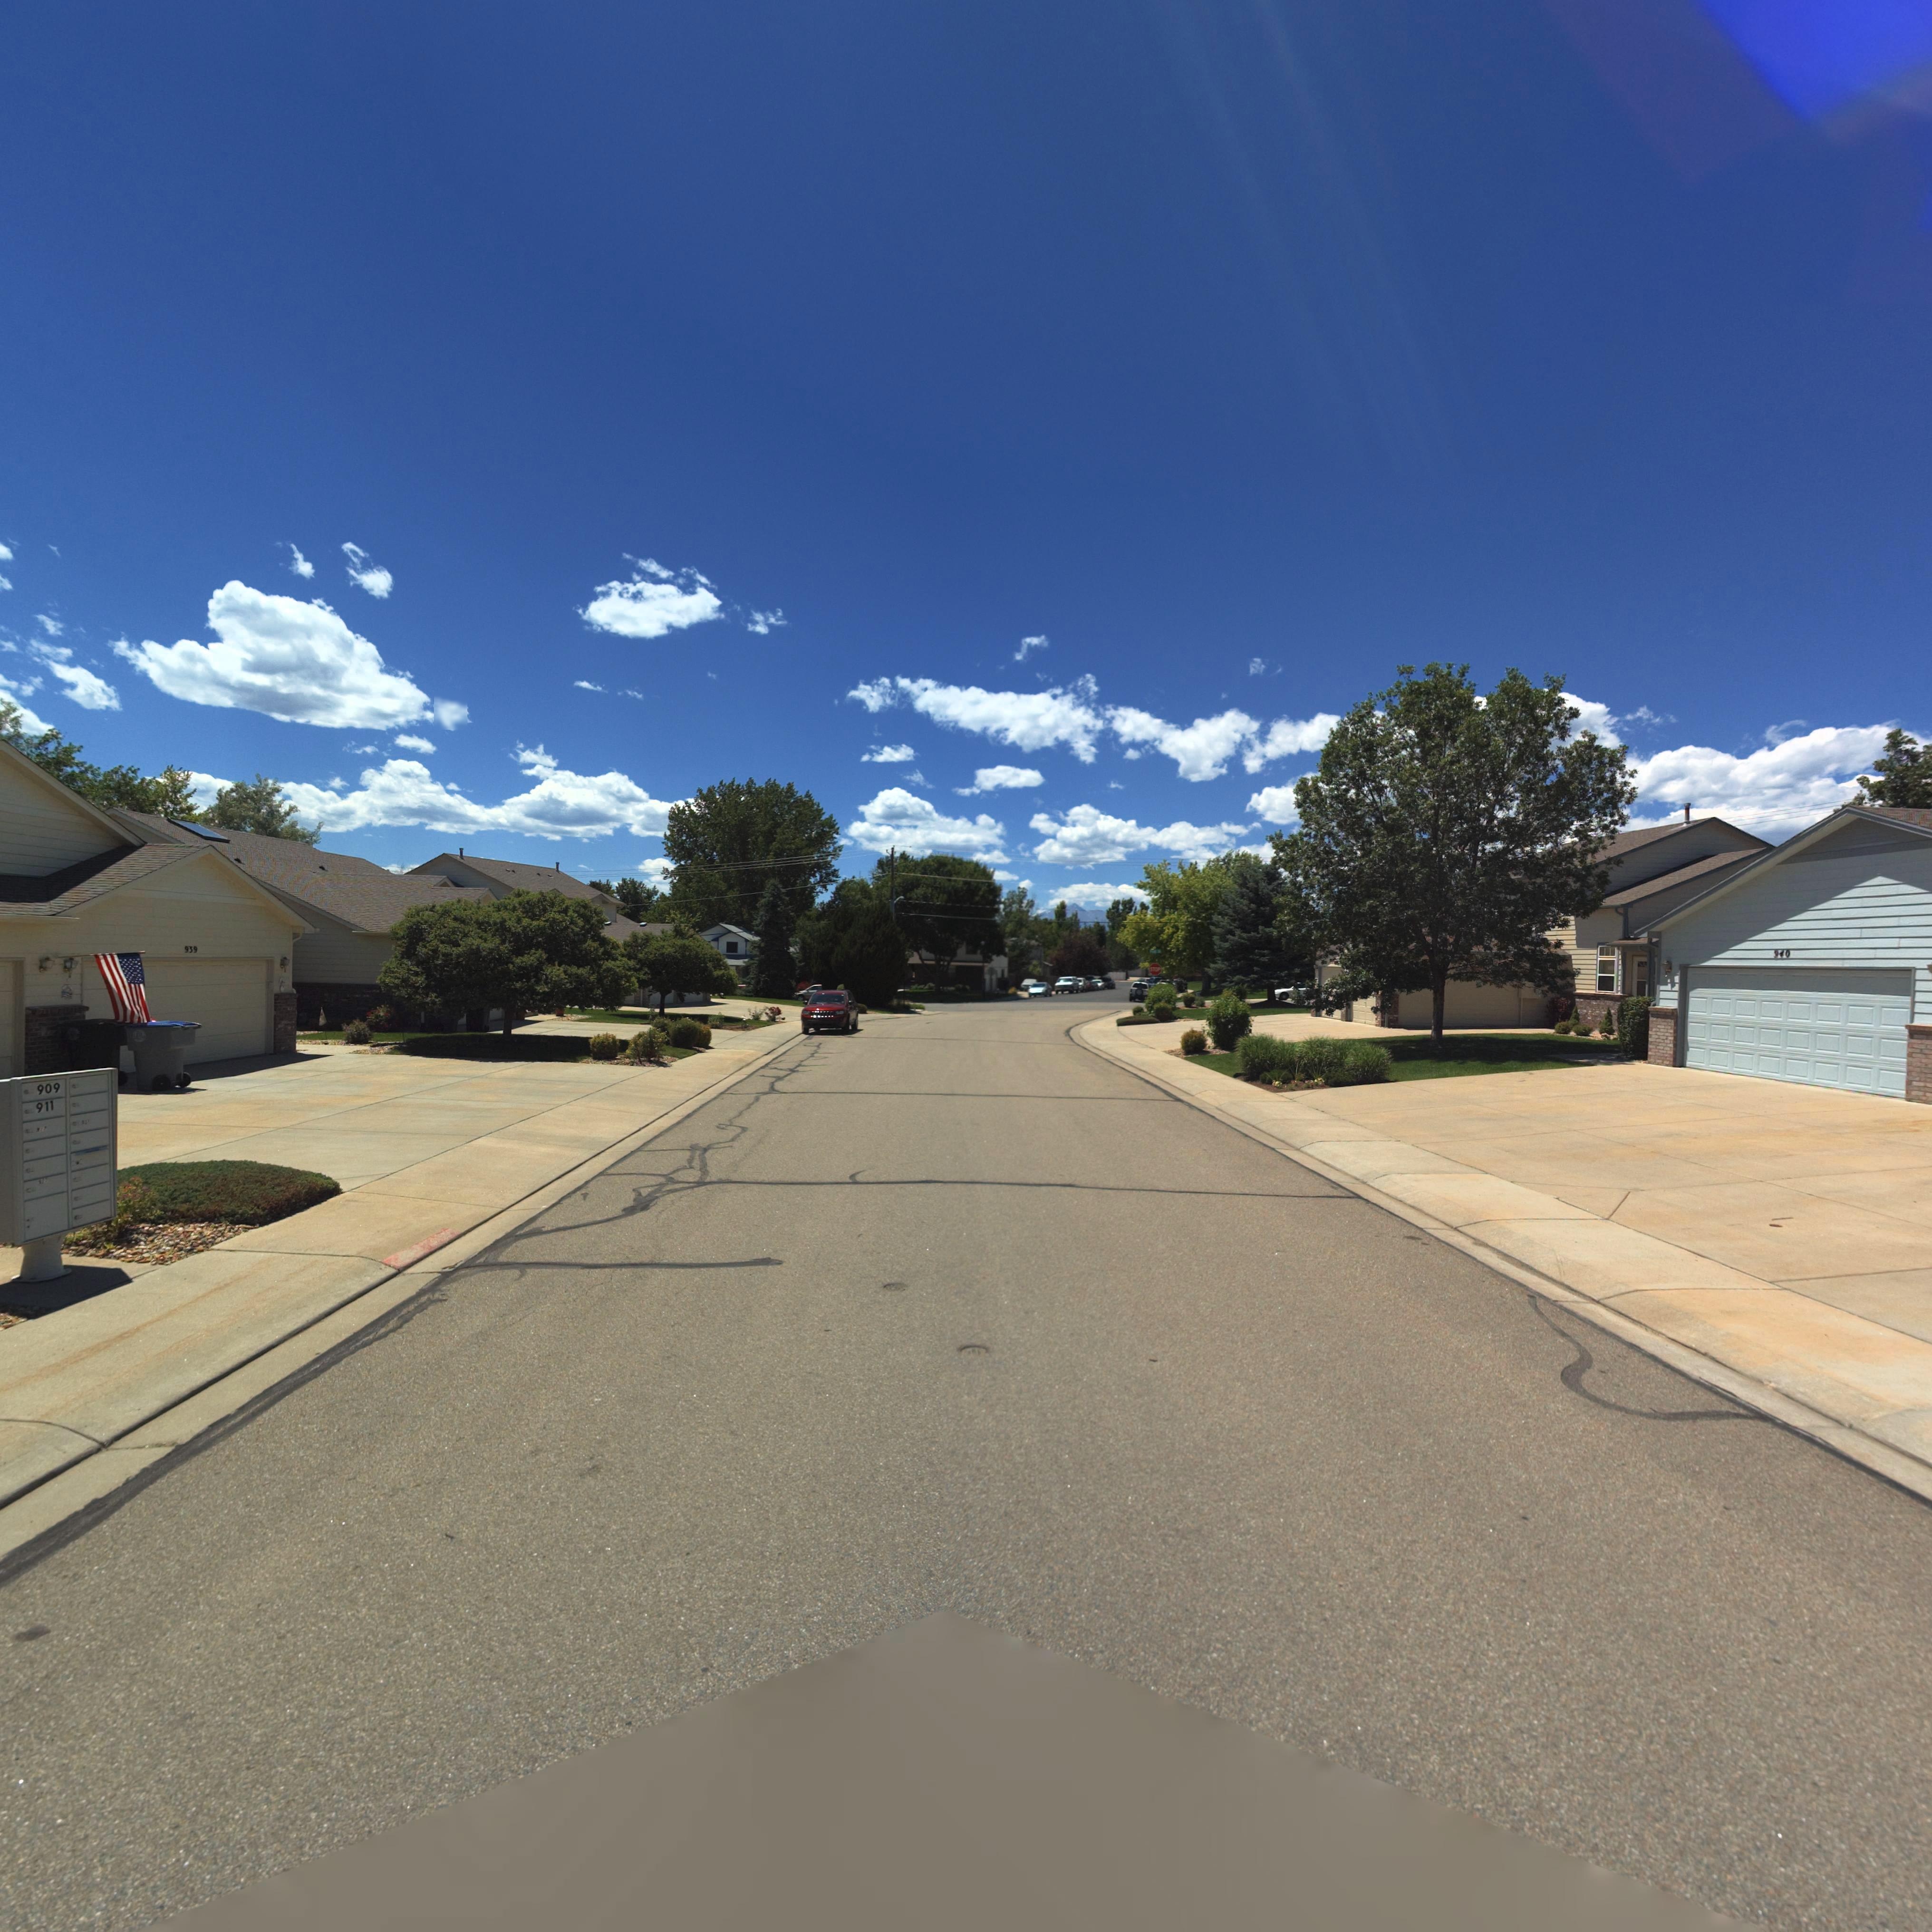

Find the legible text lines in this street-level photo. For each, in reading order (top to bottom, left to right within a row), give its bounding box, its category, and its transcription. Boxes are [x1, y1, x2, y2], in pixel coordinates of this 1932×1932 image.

[184, 946, 198, 953] StreetNumber: 959
[1773, 949, 1791, 957] StreetNumber: 940
[37, 1082, 61, 1095] StreetNumber: 909
[36, 1100, 54, 1114] StreetNumber: 911
[35, 1125, 47, 1133] StreetNumber: **7
[37, 1177, 48, 1184] StreetNumber: *2*